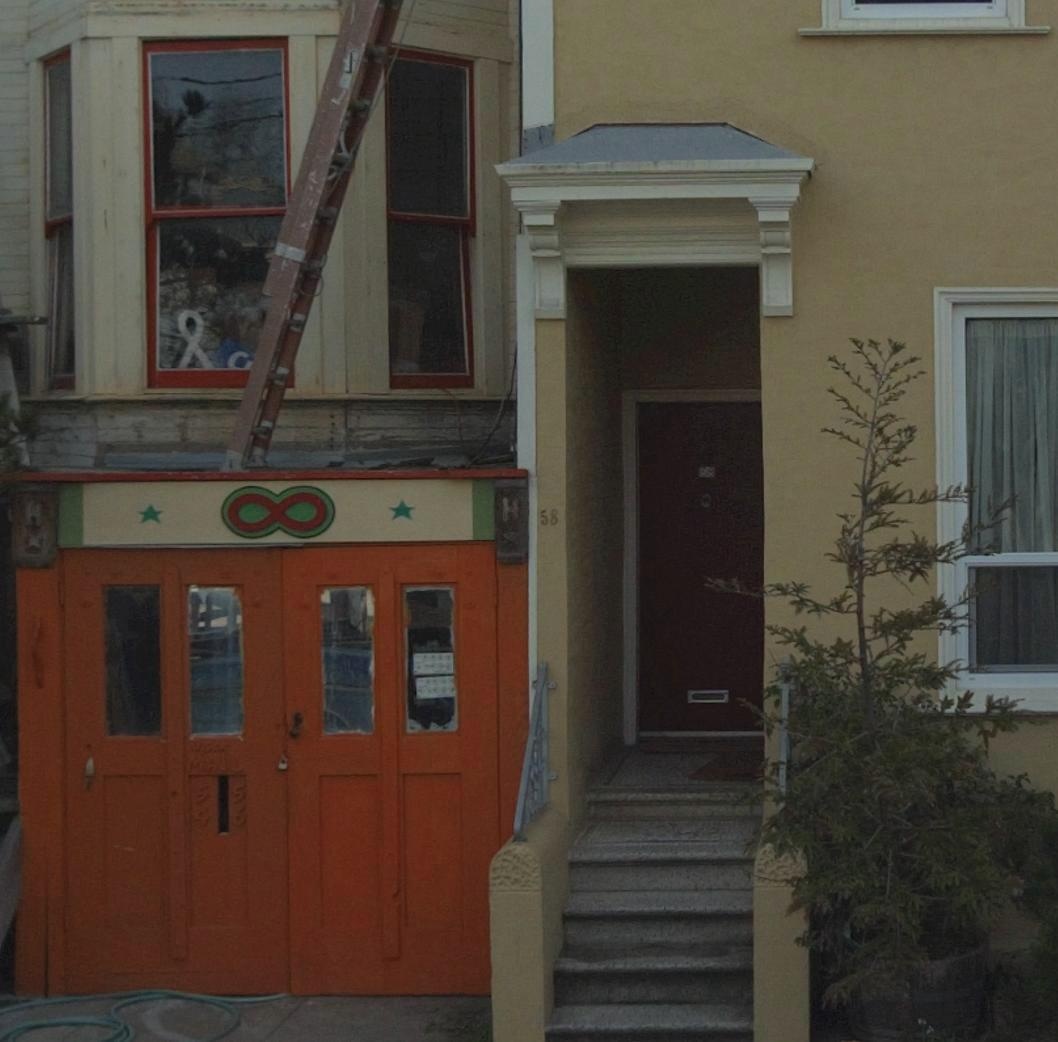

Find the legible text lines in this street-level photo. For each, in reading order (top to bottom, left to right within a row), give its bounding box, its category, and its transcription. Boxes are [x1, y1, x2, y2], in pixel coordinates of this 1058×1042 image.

[538, 506, 561, 528] StreetNumber: 58
[191, 781, 215, 830] StreetNumber: 54
[229, 780, 249, 829] StreetNumber: 56